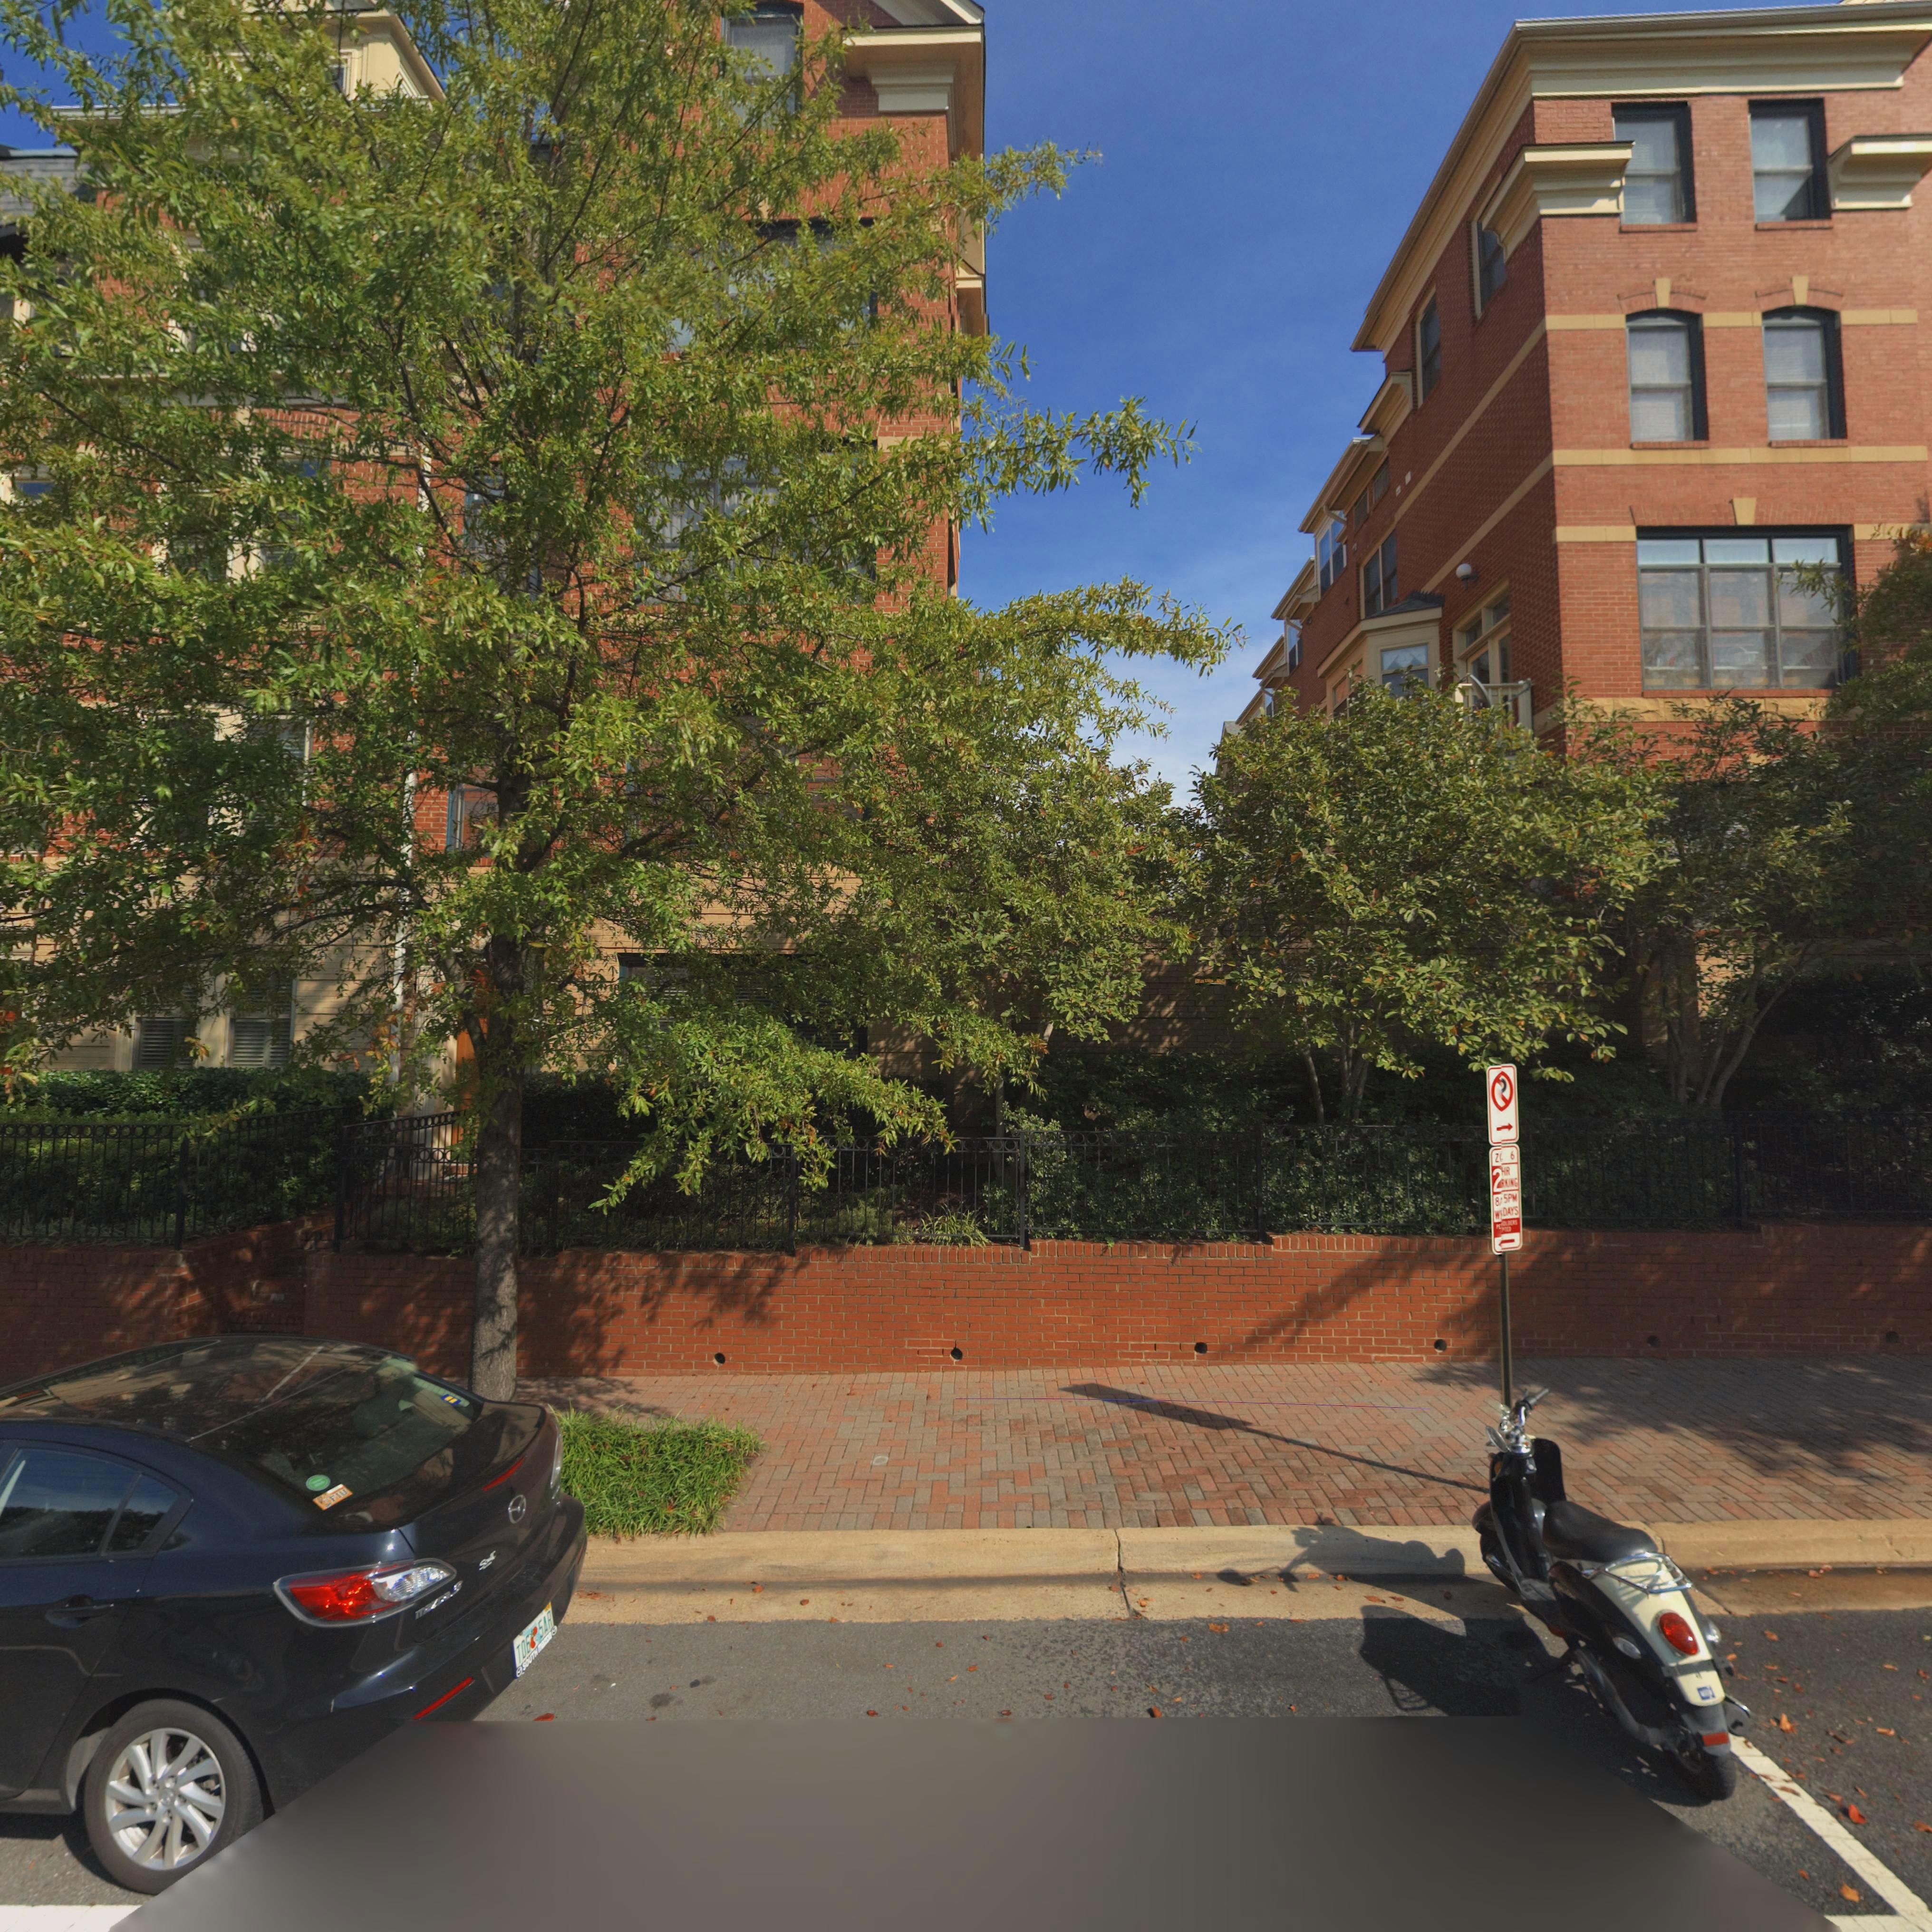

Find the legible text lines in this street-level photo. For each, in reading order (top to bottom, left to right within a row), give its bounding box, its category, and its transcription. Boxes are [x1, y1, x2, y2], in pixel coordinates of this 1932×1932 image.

[1495, 1150, 1516, 1163] None: Z* 6
[1501, 1166, 1510, 1176] None: HR
[1492, 1168, 1502, 1193] None: 2
[1501, 1177, 1518, 1188] None: RKING
[1494, 1197, 1500, 1207] None: 8
[1503, 1193, 1517, 1204] None: 5PM
[1494, 1210, 1500, 1220] None: W
[1502, 1206, 1519, 1217] None: DAYS
[1496, 1224, 1501, 1230] None: PE
[328, 1488, 348, 1502] None: FIU
[415, 1578, 464, 1622] None: ma*Da 3
[515, 1609, 553, 1665] None: T06*5AR
[522, 1630, 553, 1672] None: SOUTH mazDa